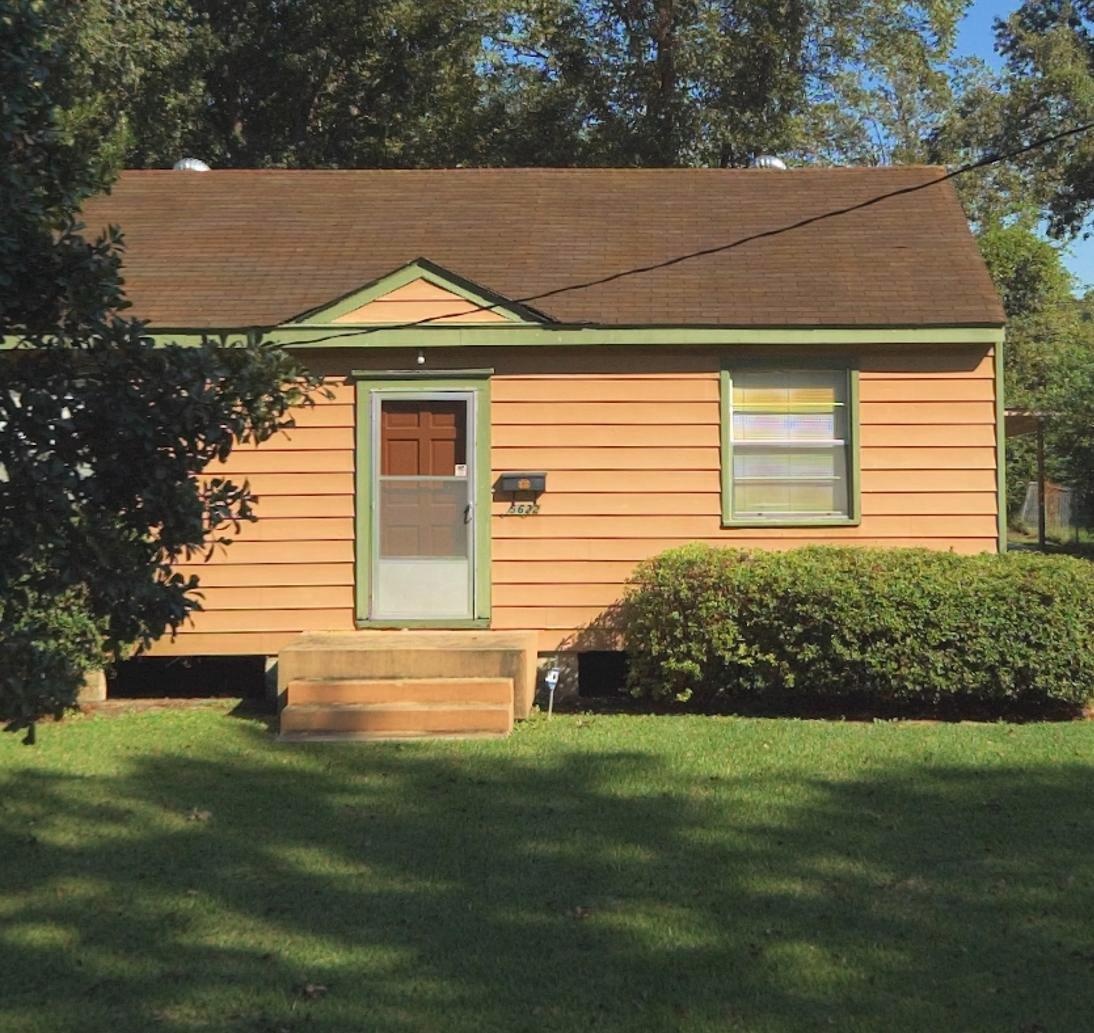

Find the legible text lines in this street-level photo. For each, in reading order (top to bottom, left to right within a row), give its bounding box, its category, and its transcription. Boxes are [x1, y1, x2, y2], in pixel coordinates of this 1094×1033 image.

[506, 504, 543, 514] StreetNumber: 5622